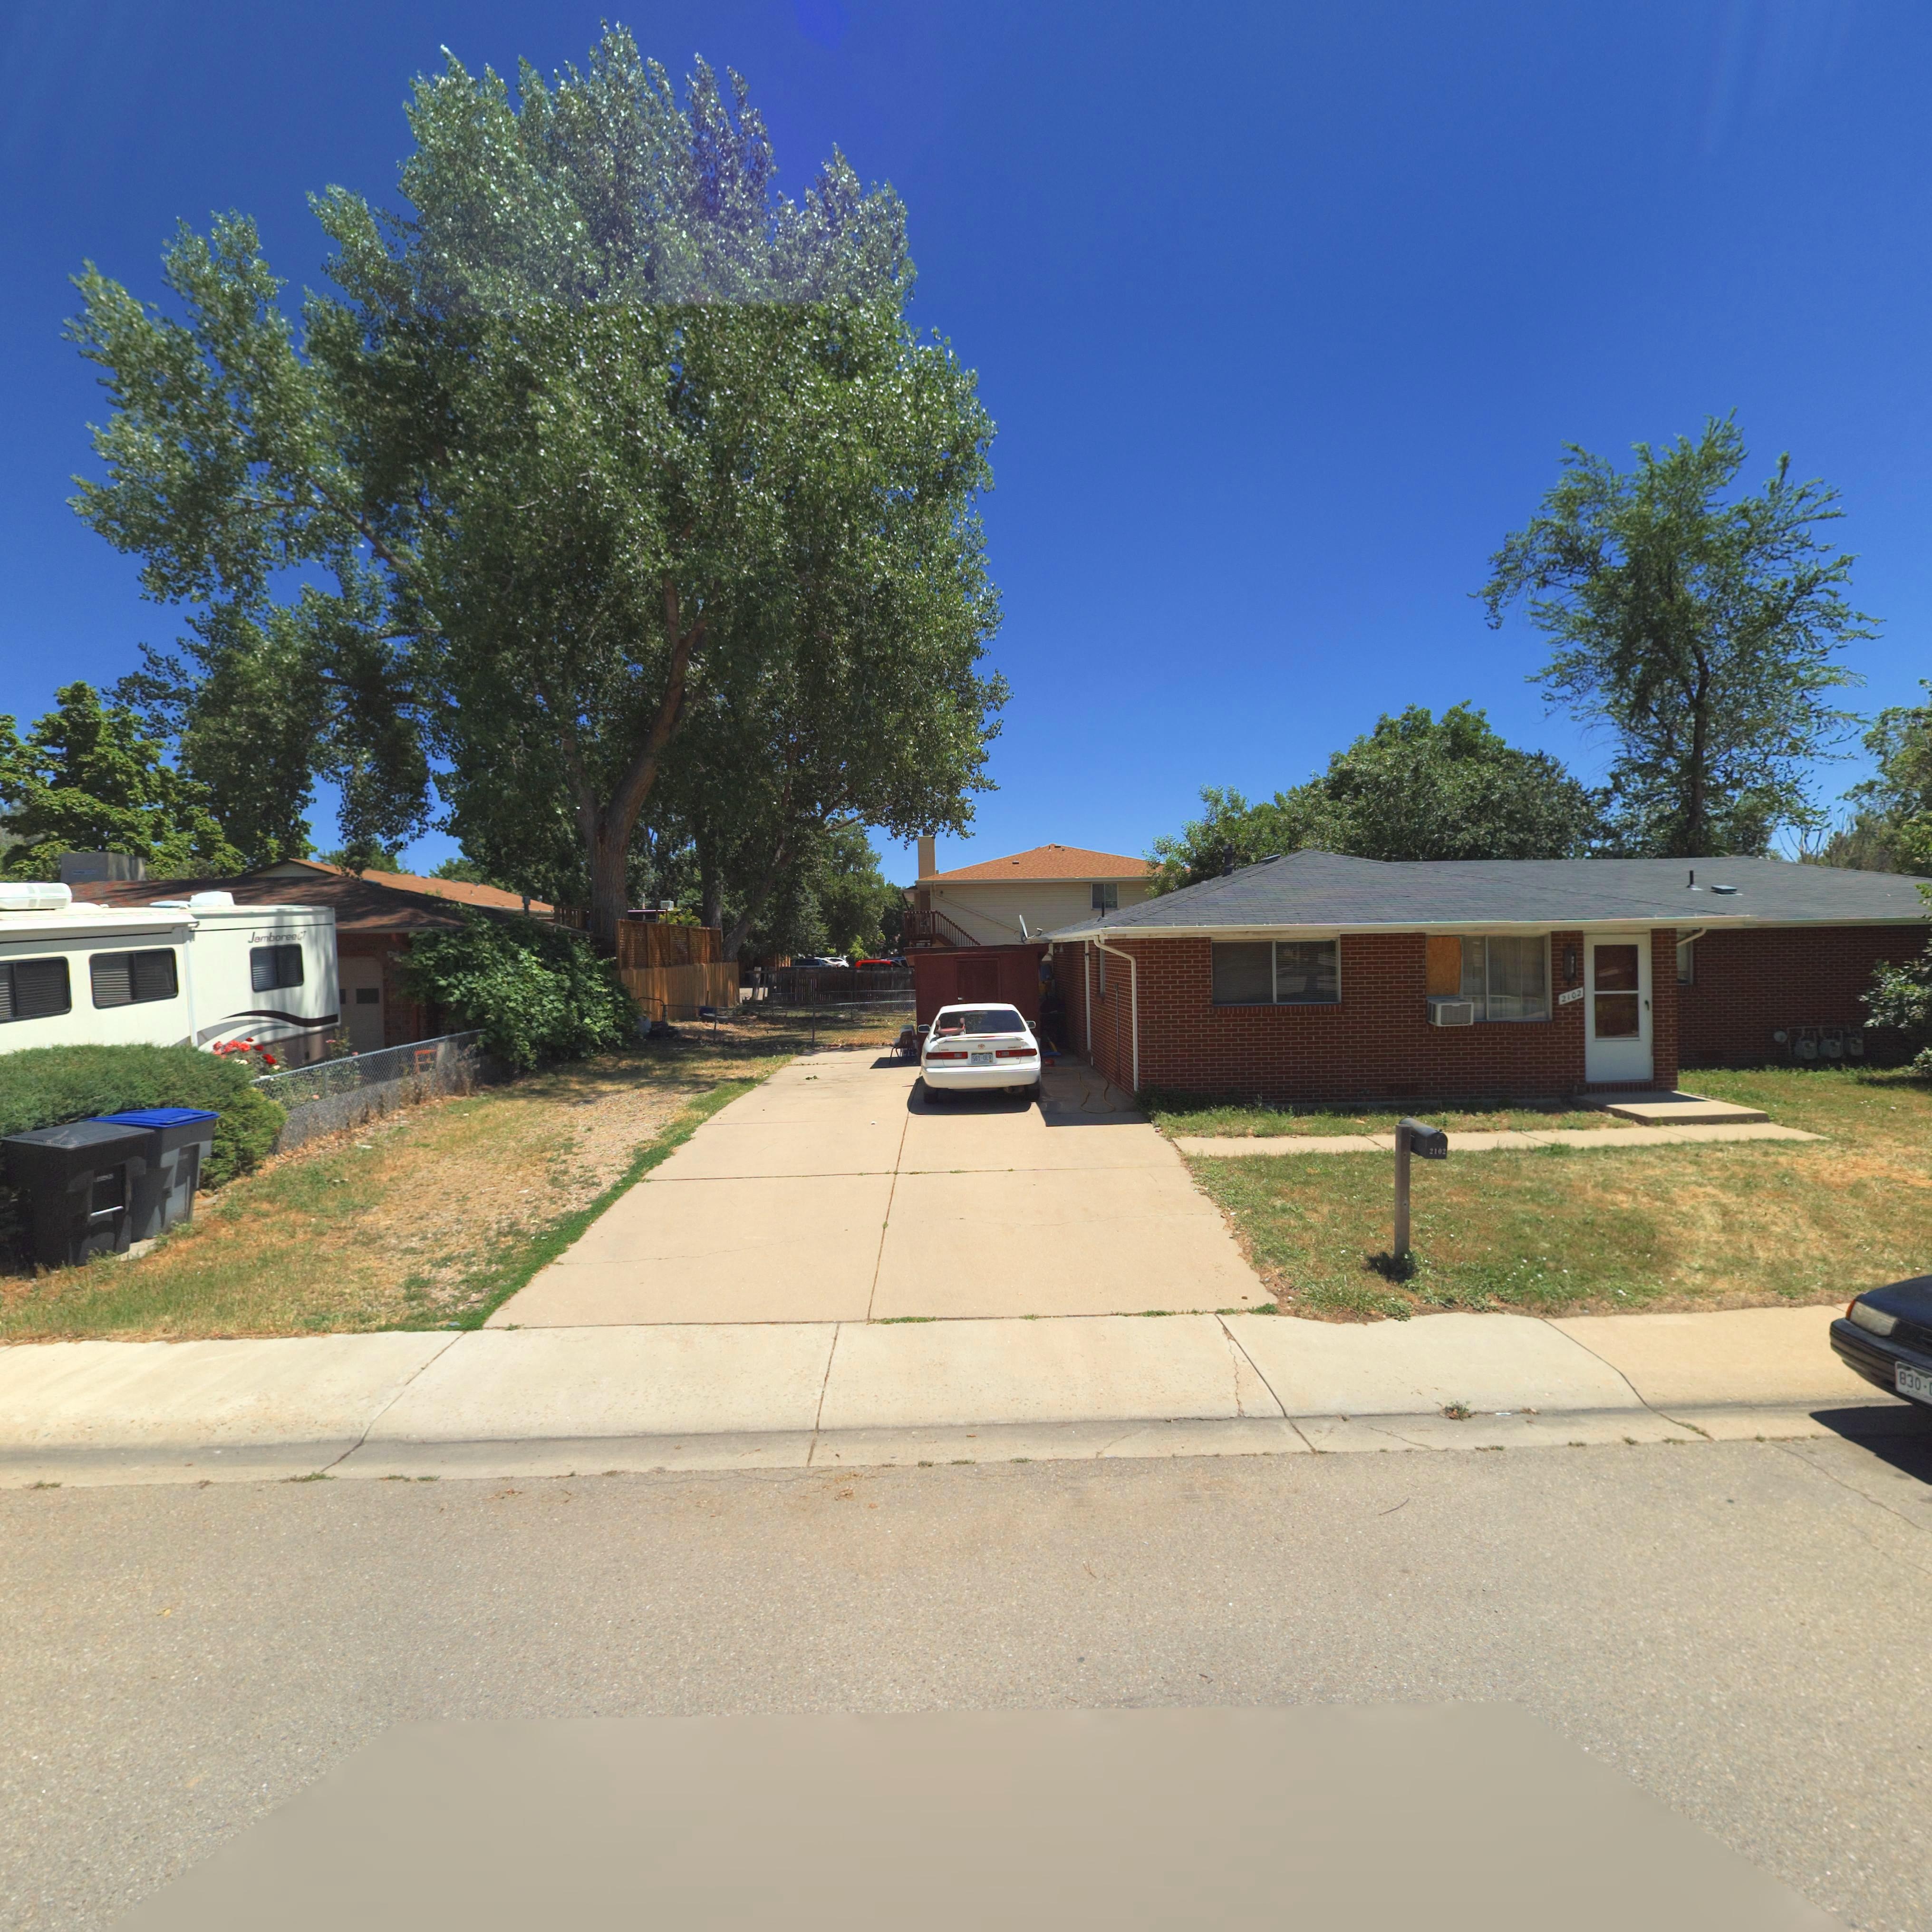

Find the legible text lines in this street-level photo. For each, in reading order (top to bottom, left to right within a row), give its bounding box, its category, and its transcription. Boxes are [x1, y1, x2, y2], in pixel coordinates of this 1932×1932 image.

[1560, 988, 1582, 1003] StreetNumber: 2102
[1427, 1147, 1447, 1155] StreetNumber: 2102